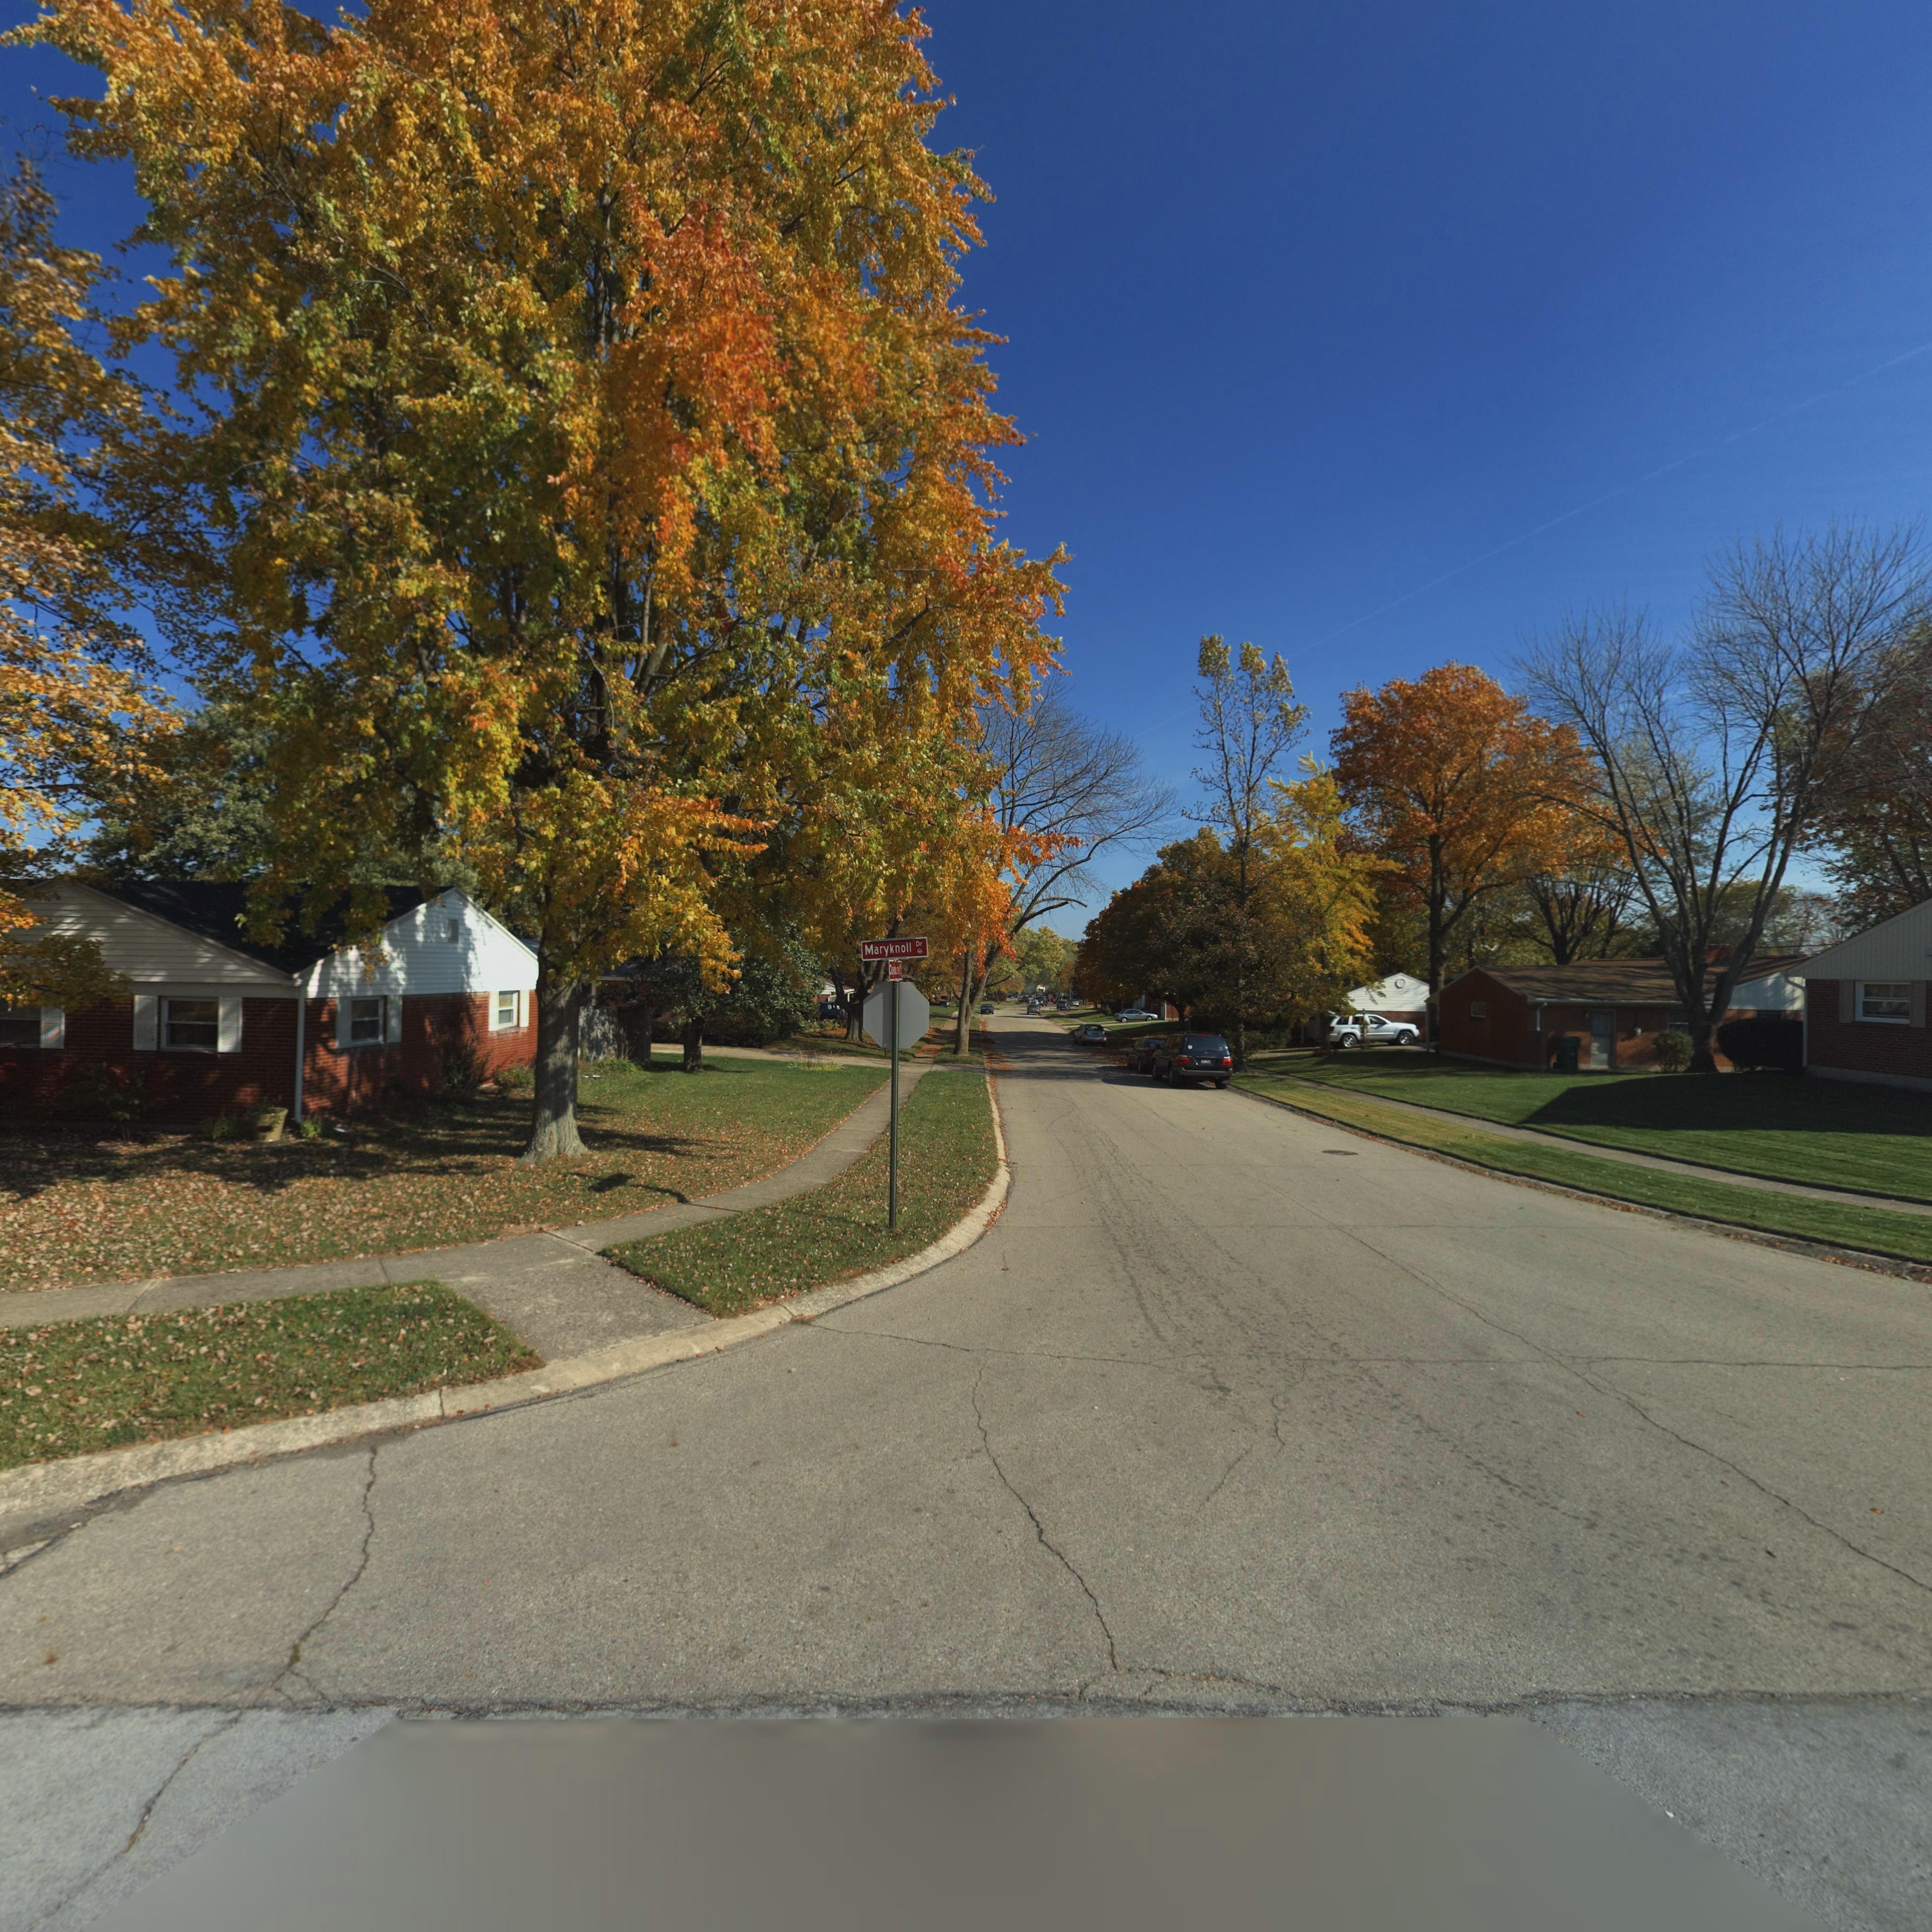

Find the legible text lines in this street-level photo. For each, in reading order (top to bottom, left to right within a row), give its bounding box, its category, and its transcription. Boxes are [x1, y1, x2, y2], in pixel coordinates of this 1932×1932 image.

[864, 940, 923, 957] StreetName: Maryknoll Dr